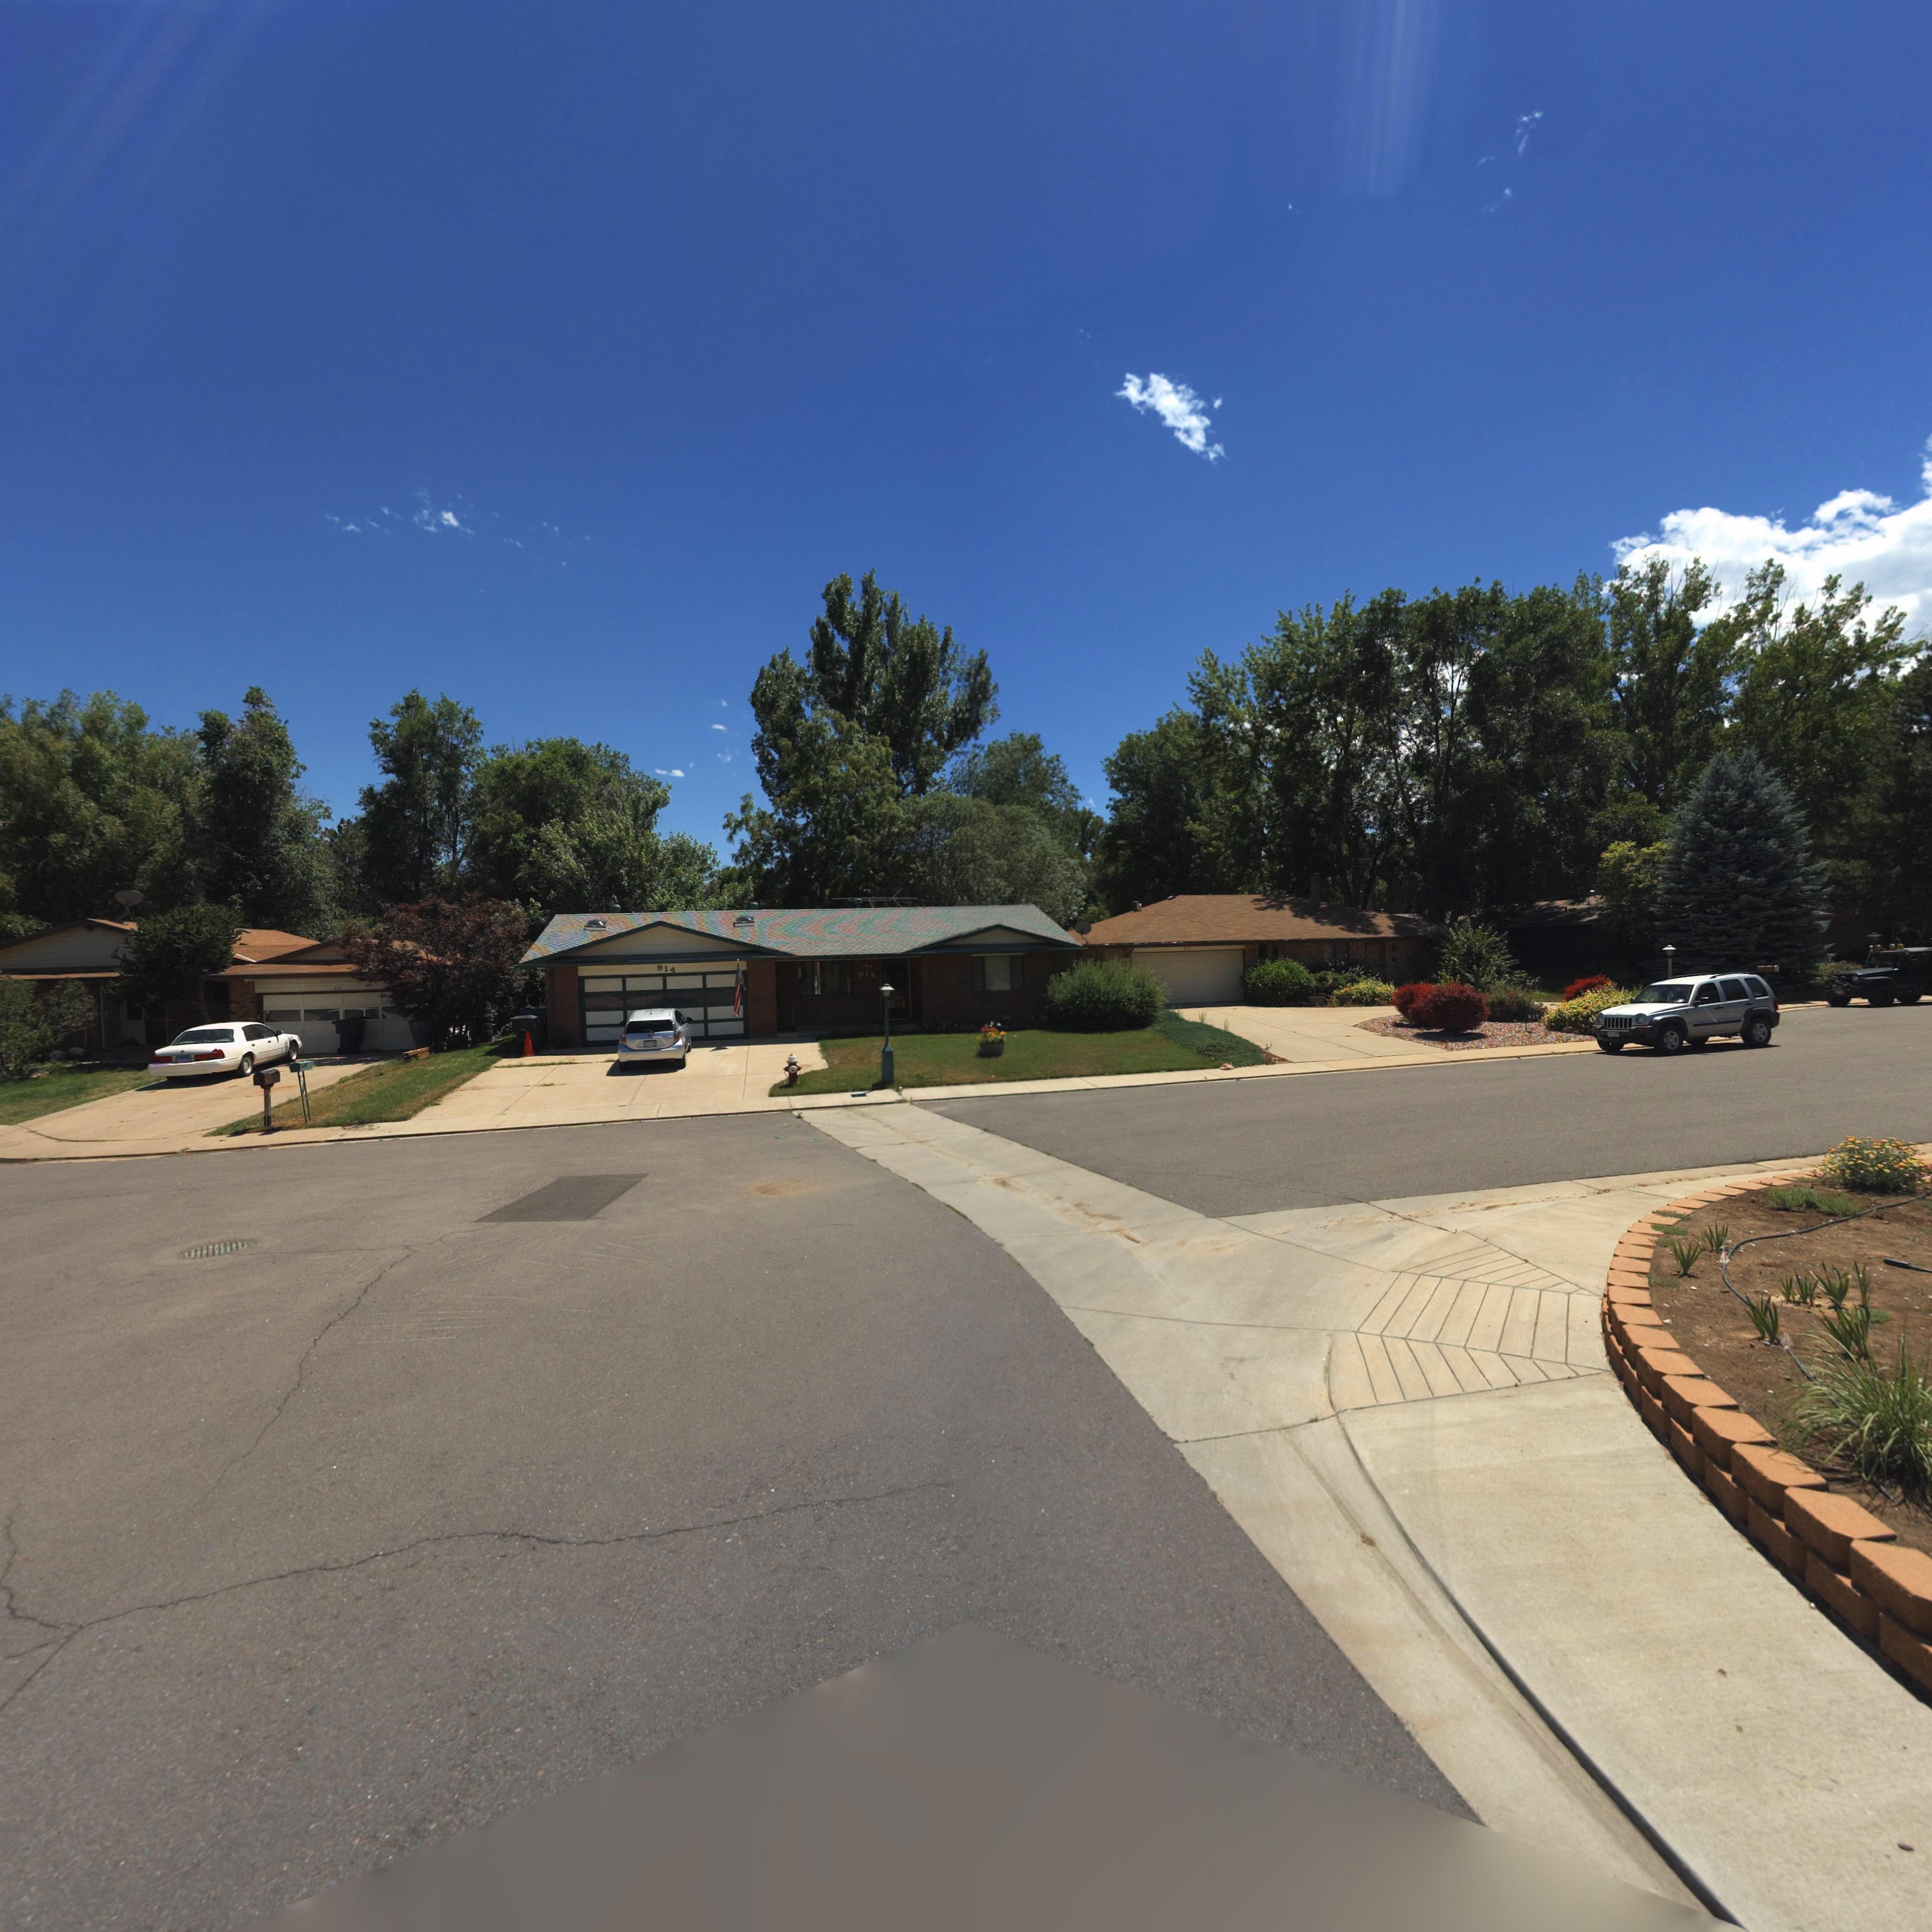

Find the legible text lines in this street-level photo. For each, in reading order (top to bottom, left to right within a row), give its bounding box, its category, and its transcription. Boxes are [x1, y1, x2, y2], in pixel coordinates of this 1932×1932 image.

[1183, 946, 1191, 951] StreetNumber: 91*
[657, 964, 675, 973] StreetNumber: 914
[858, 971, 875, 978] StreetNumber: 914
[334, 985, 342, 990] StreetNumber: 9**